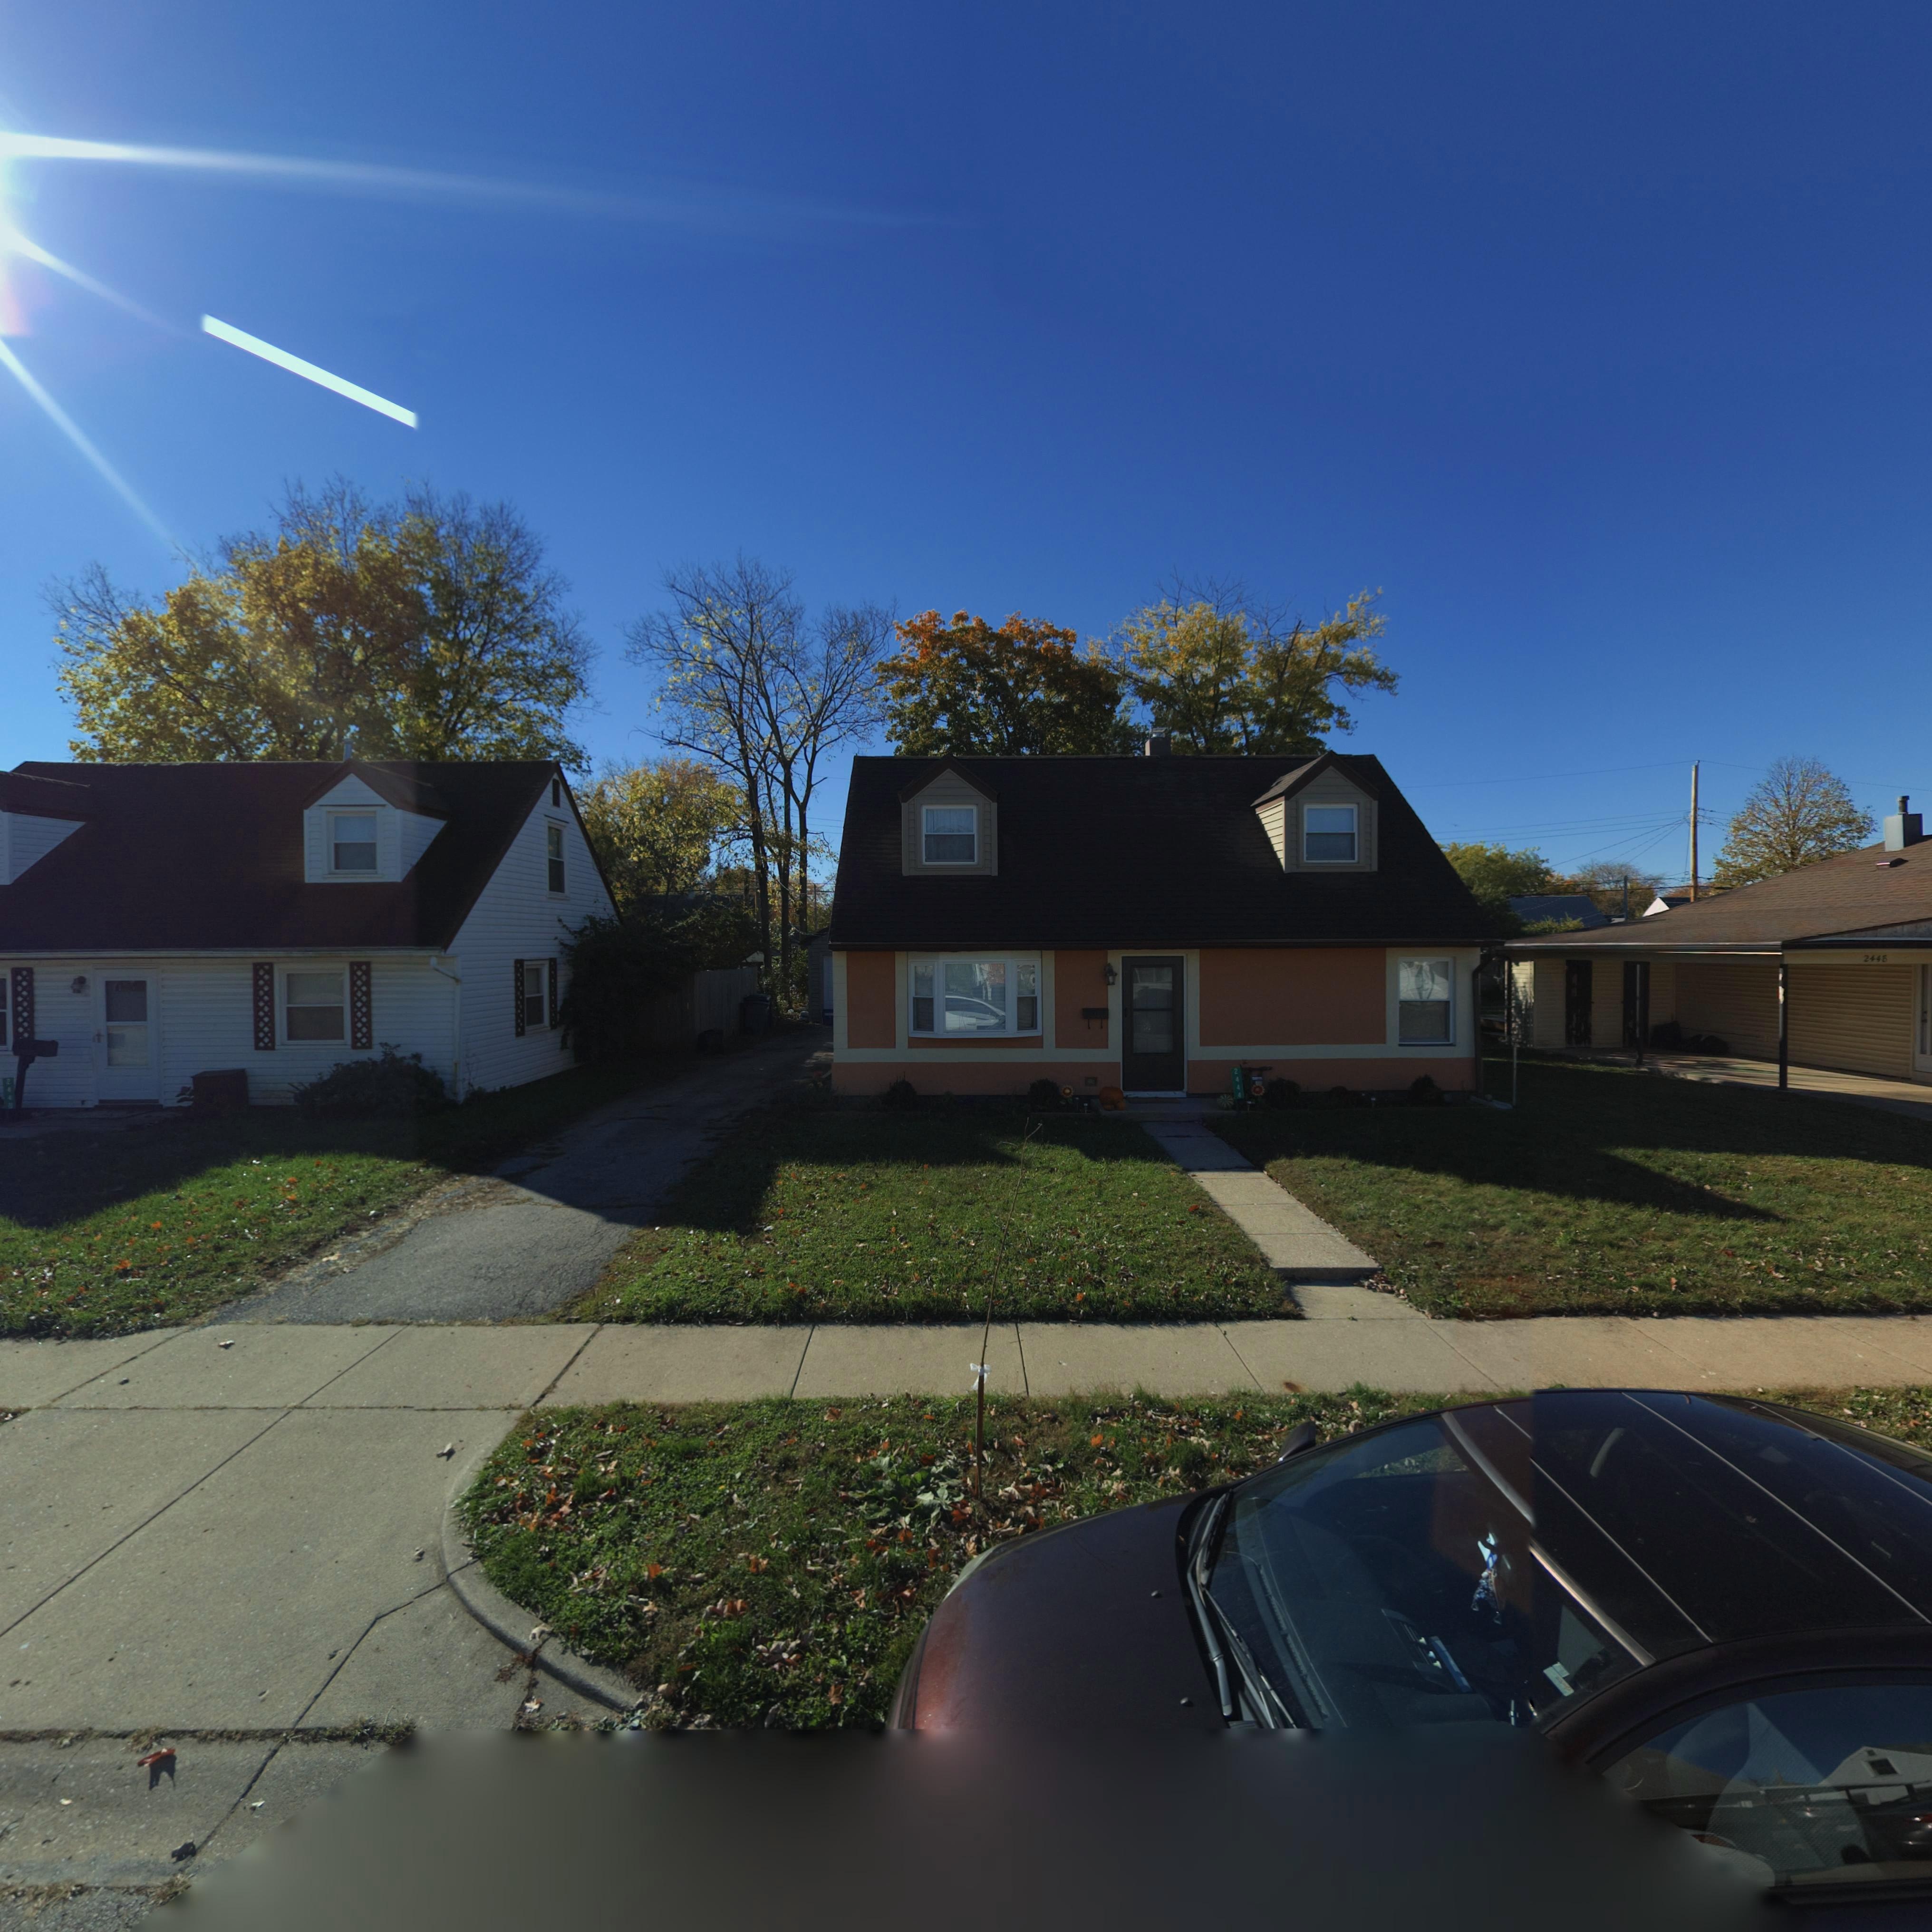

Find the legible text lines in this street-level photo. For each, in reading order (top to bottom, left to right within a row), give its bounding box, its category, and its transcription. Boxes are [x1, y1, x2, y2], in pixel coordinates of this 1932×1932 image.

[1862, 953, 1889, 963] StreetNumber: 244*
[1232, 1067, 1242, 1099] StreetNumber: 2444